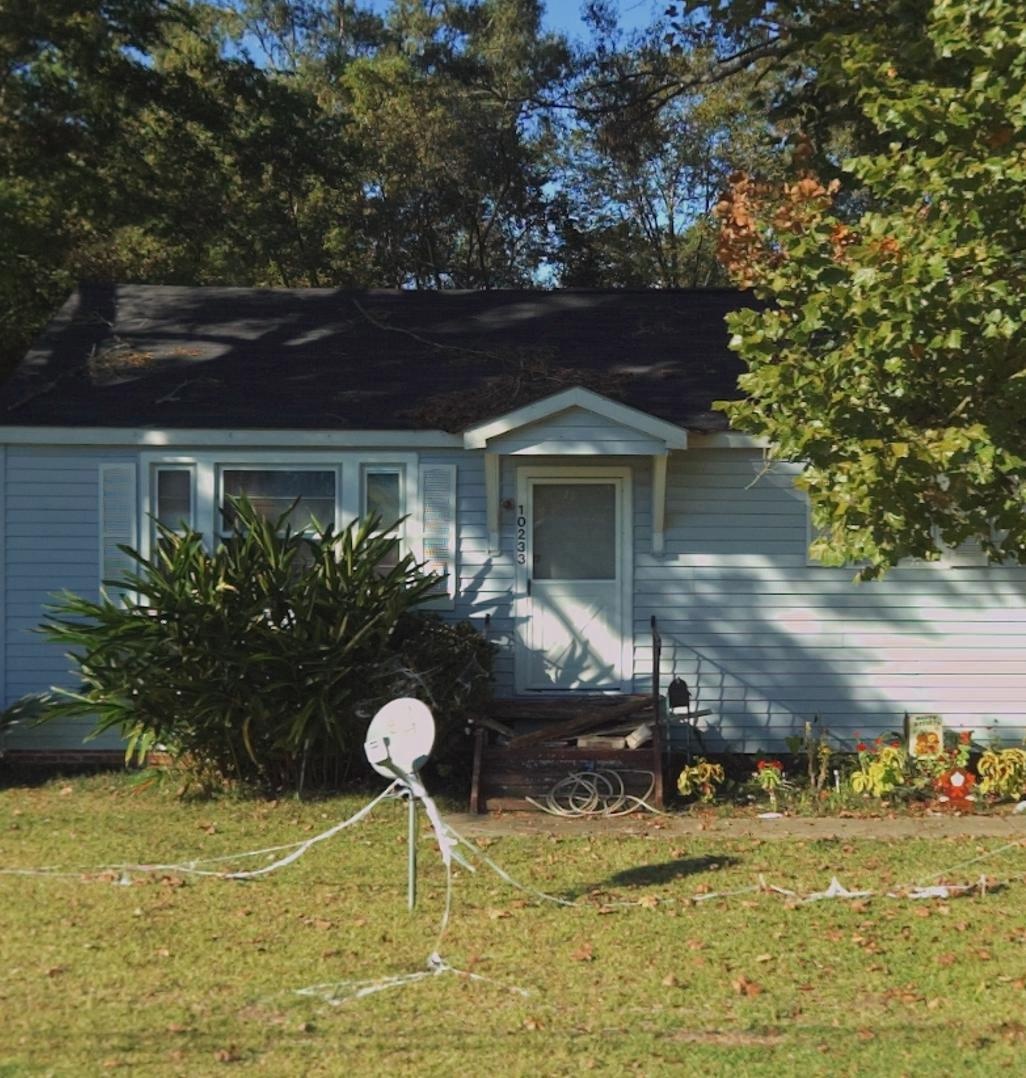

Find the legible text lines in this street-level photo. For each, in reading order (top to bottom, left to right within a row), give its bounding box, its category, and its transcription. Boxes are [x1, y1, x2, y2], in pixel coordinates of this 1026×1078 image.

[516, 503, 526, 566] StreetNumber: 10233